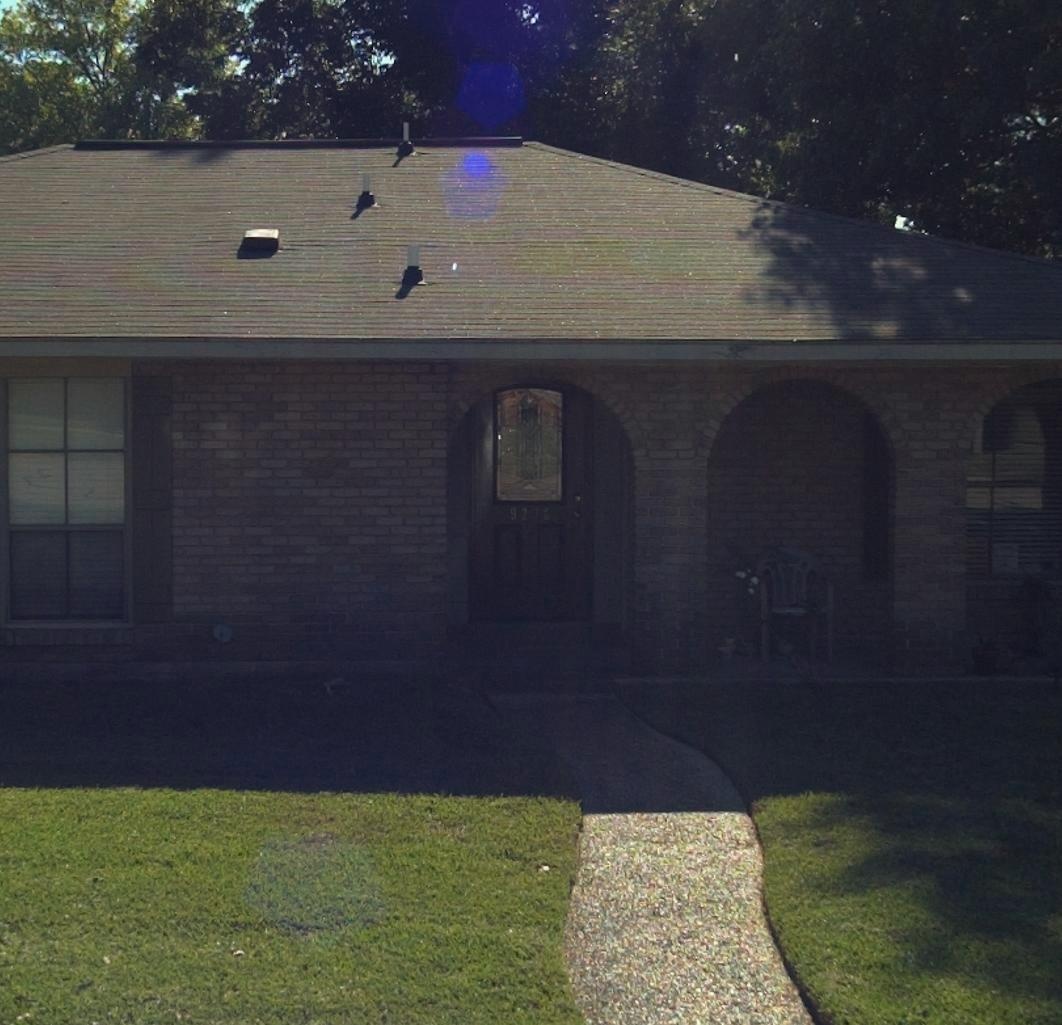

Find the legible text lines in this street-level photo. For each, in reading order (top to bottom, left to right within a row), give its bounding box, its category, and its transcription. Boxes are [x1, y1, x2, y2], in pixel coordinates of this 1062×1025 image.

[508, 506, 552, 522] StreetNumber: 9218